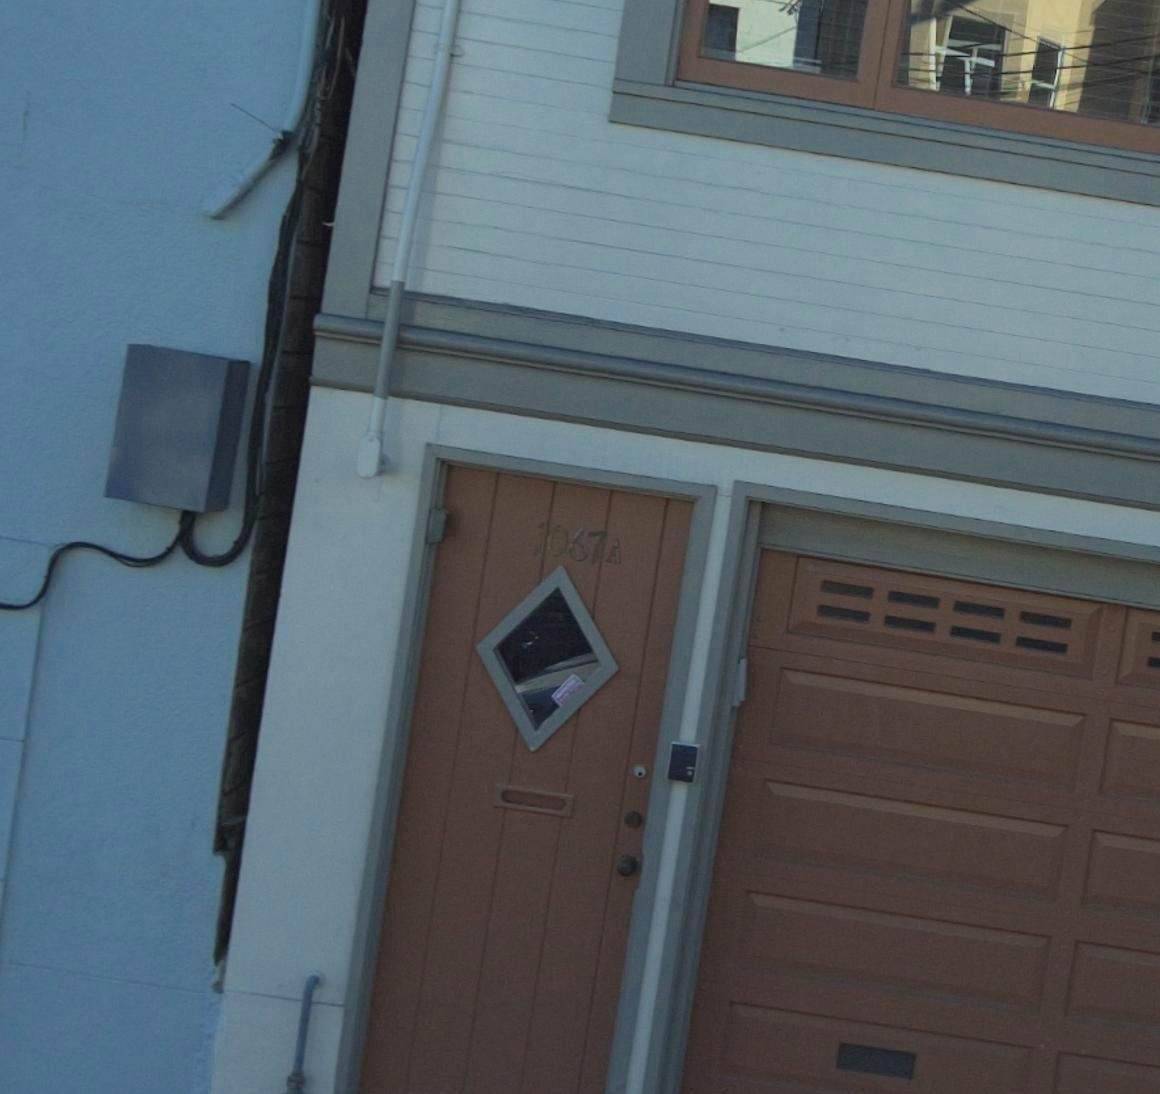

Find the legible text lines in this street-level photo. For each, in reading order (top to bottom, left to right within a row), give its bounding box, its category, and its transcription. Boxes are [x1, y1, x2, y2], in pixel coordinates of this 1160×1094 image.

[532, 516, 625, 571] StreetNumber: 1067A